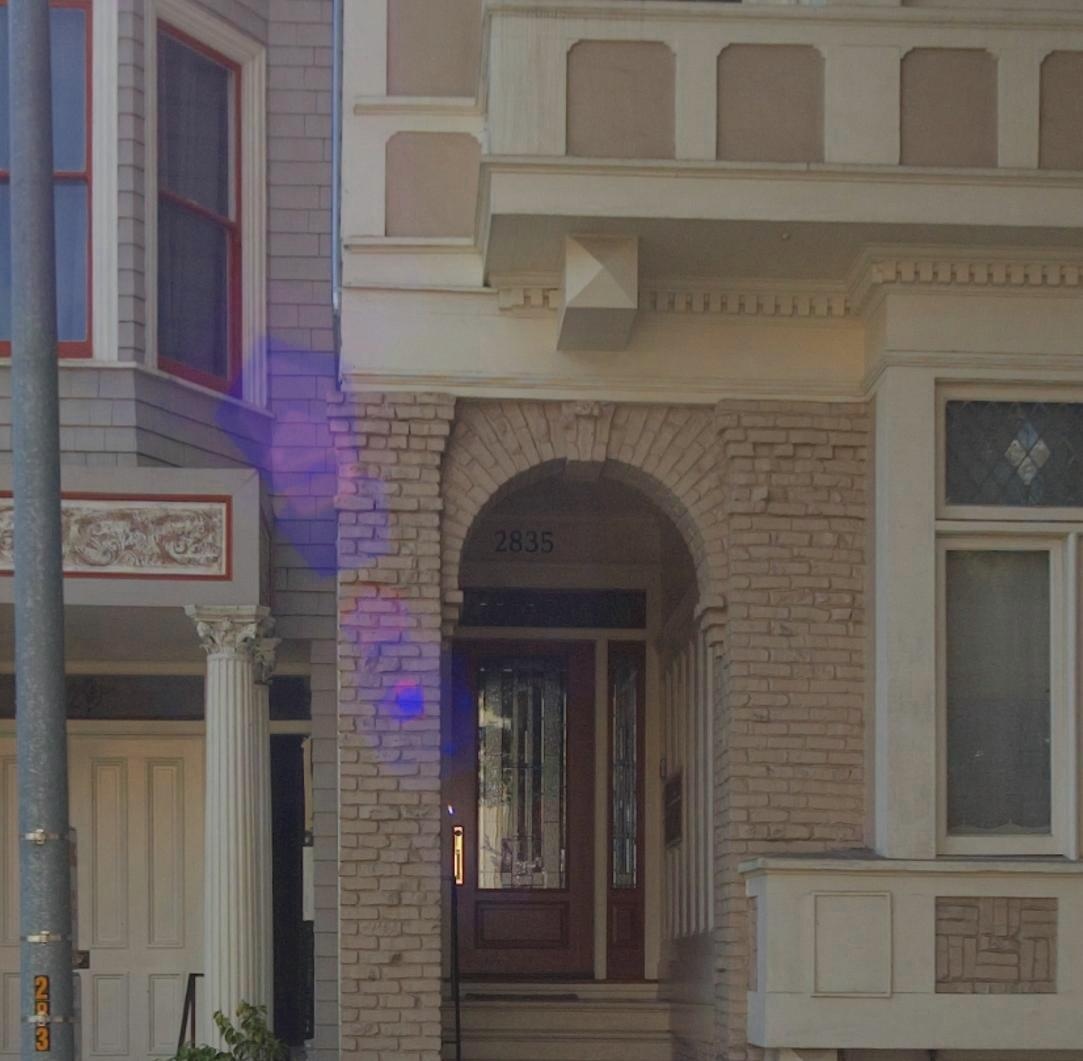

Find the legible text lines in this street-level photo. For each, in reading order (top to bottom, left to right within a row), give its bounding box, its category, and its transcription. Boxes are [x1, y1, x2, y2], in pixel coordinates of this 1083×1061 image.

[493, 528, 556, 556] StreetNumber: 2835
[32, 973, 50, 1054] None: 2*3